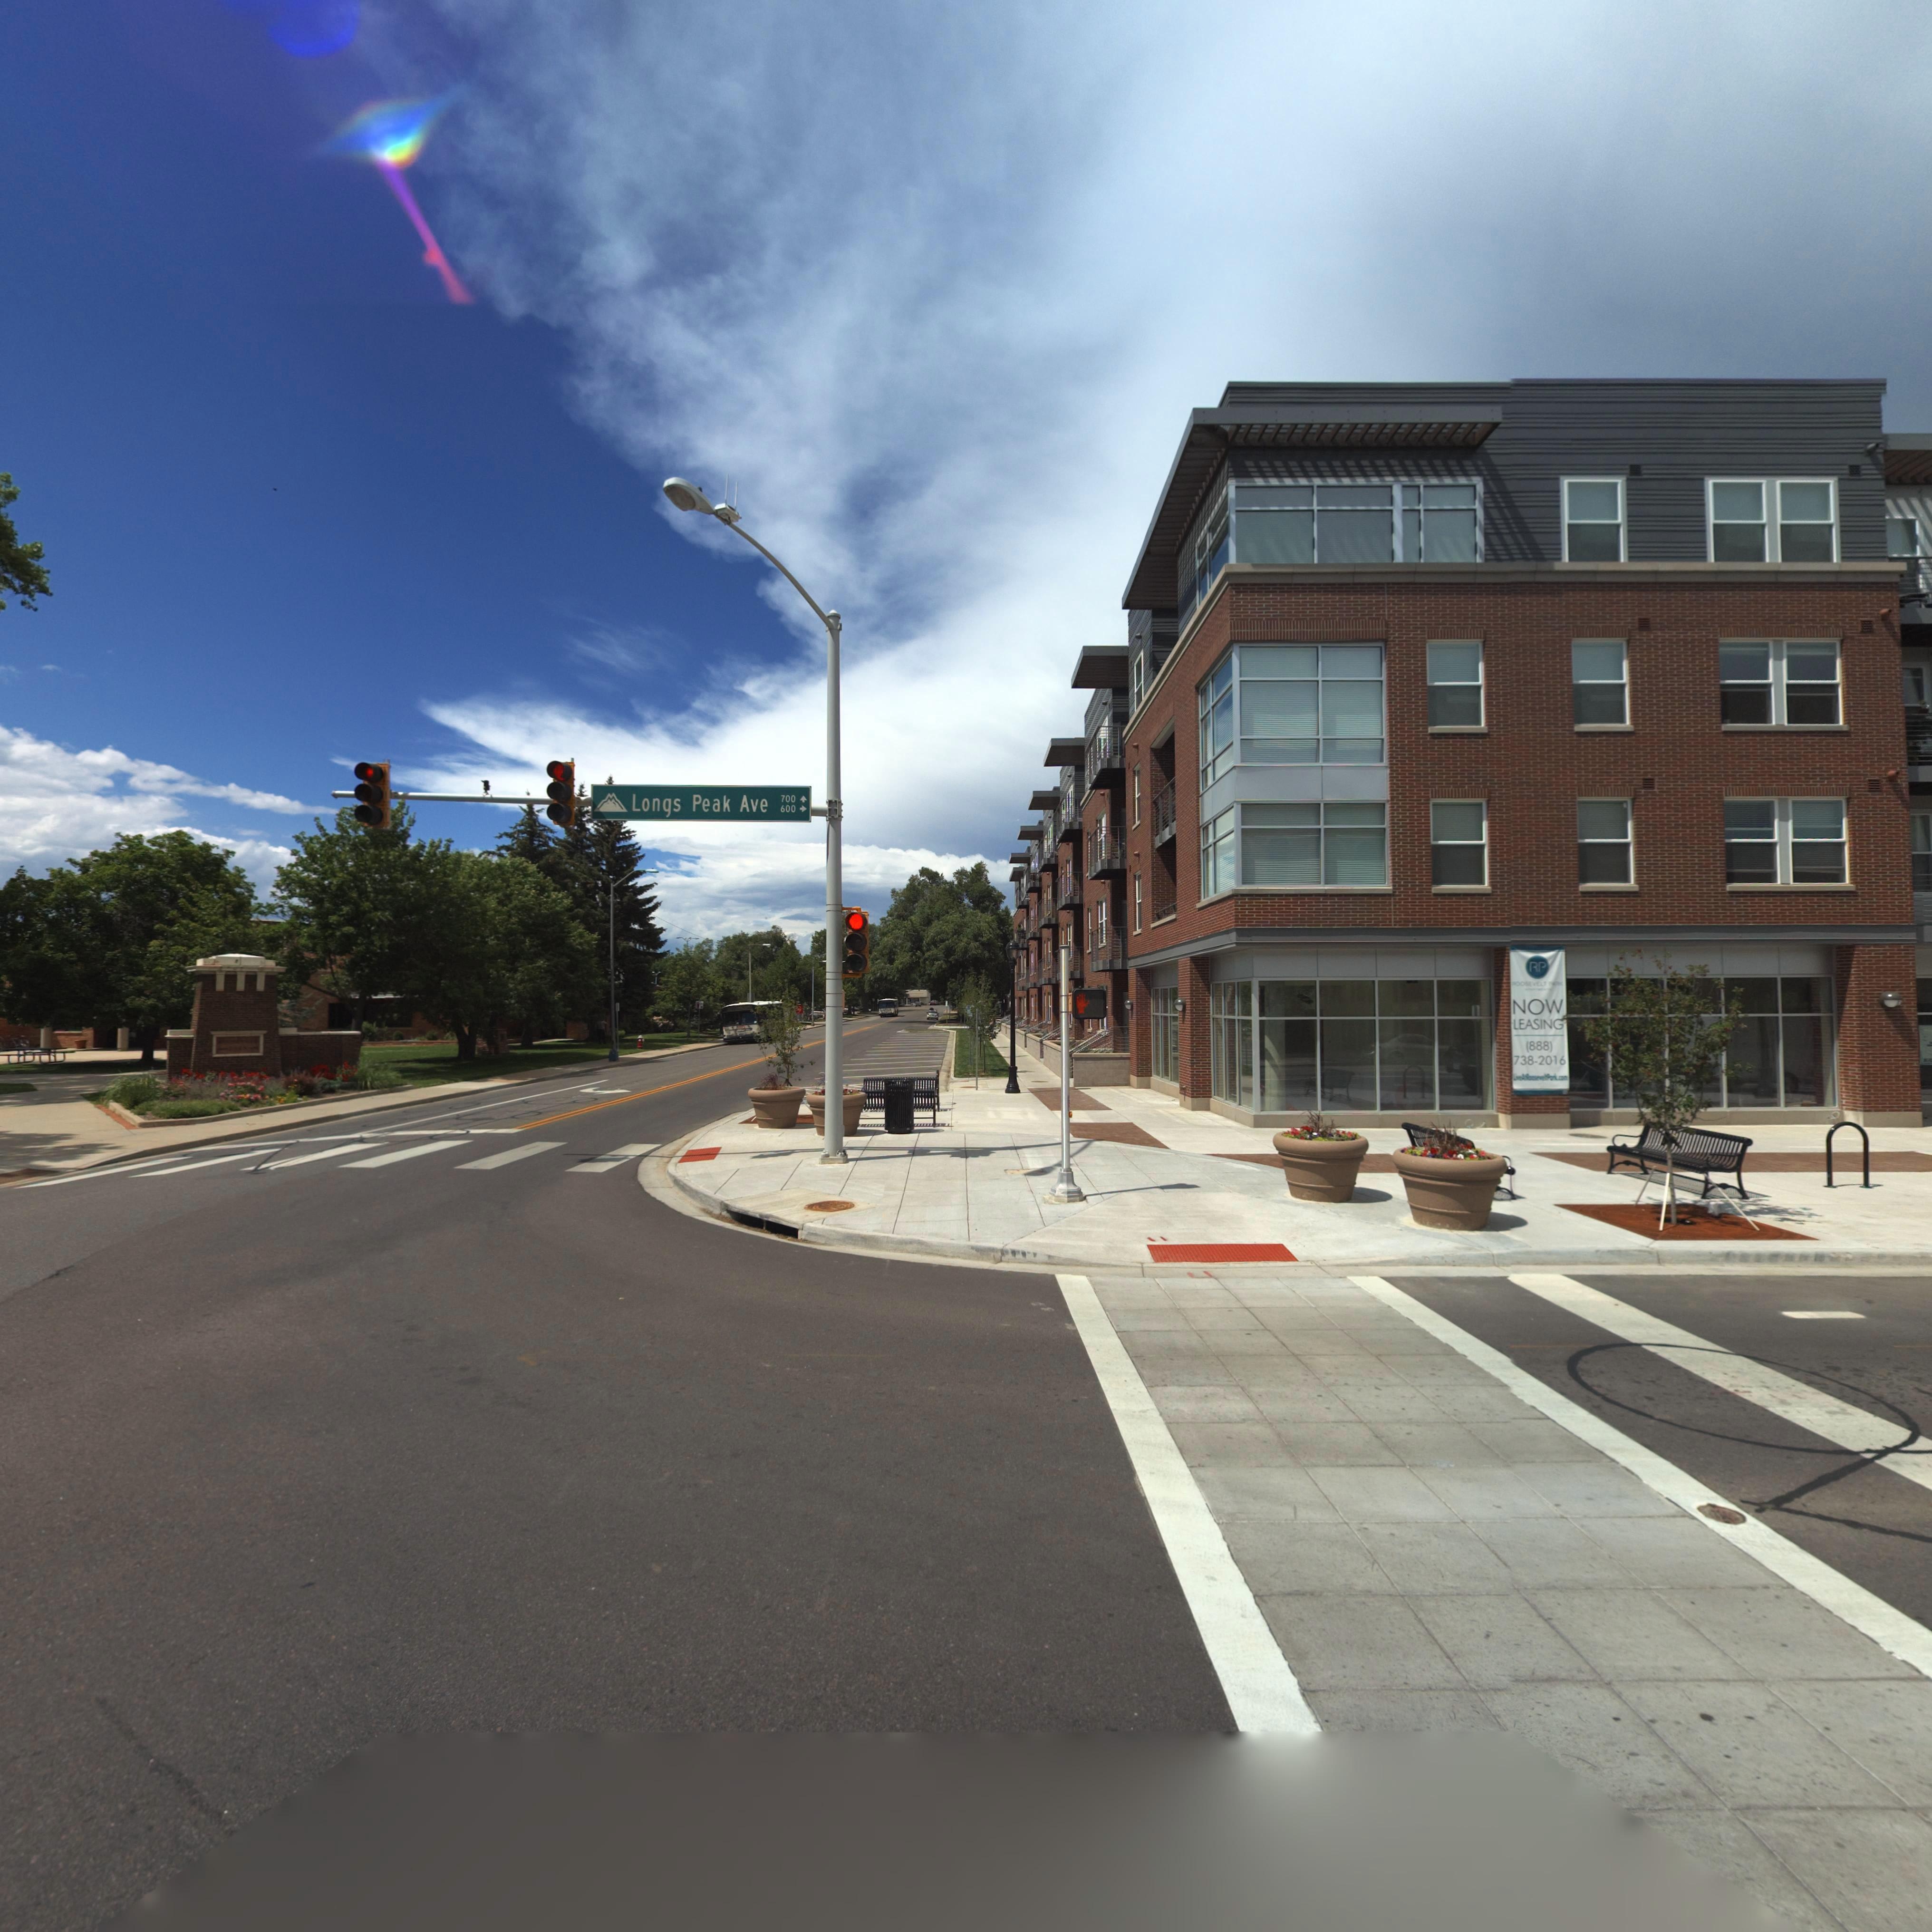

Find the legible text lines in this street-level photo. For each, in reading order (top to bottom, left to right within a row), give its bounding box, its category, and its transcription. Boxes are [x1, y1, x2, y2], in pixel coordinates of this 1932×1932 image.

[780, 794, 795, 802] StreetNumberRange: 700
[631, 793, 768, 818] StreetName: Longs Peak Ave
[780, 804, 807, 812] StreetNumberRange: 600 ->